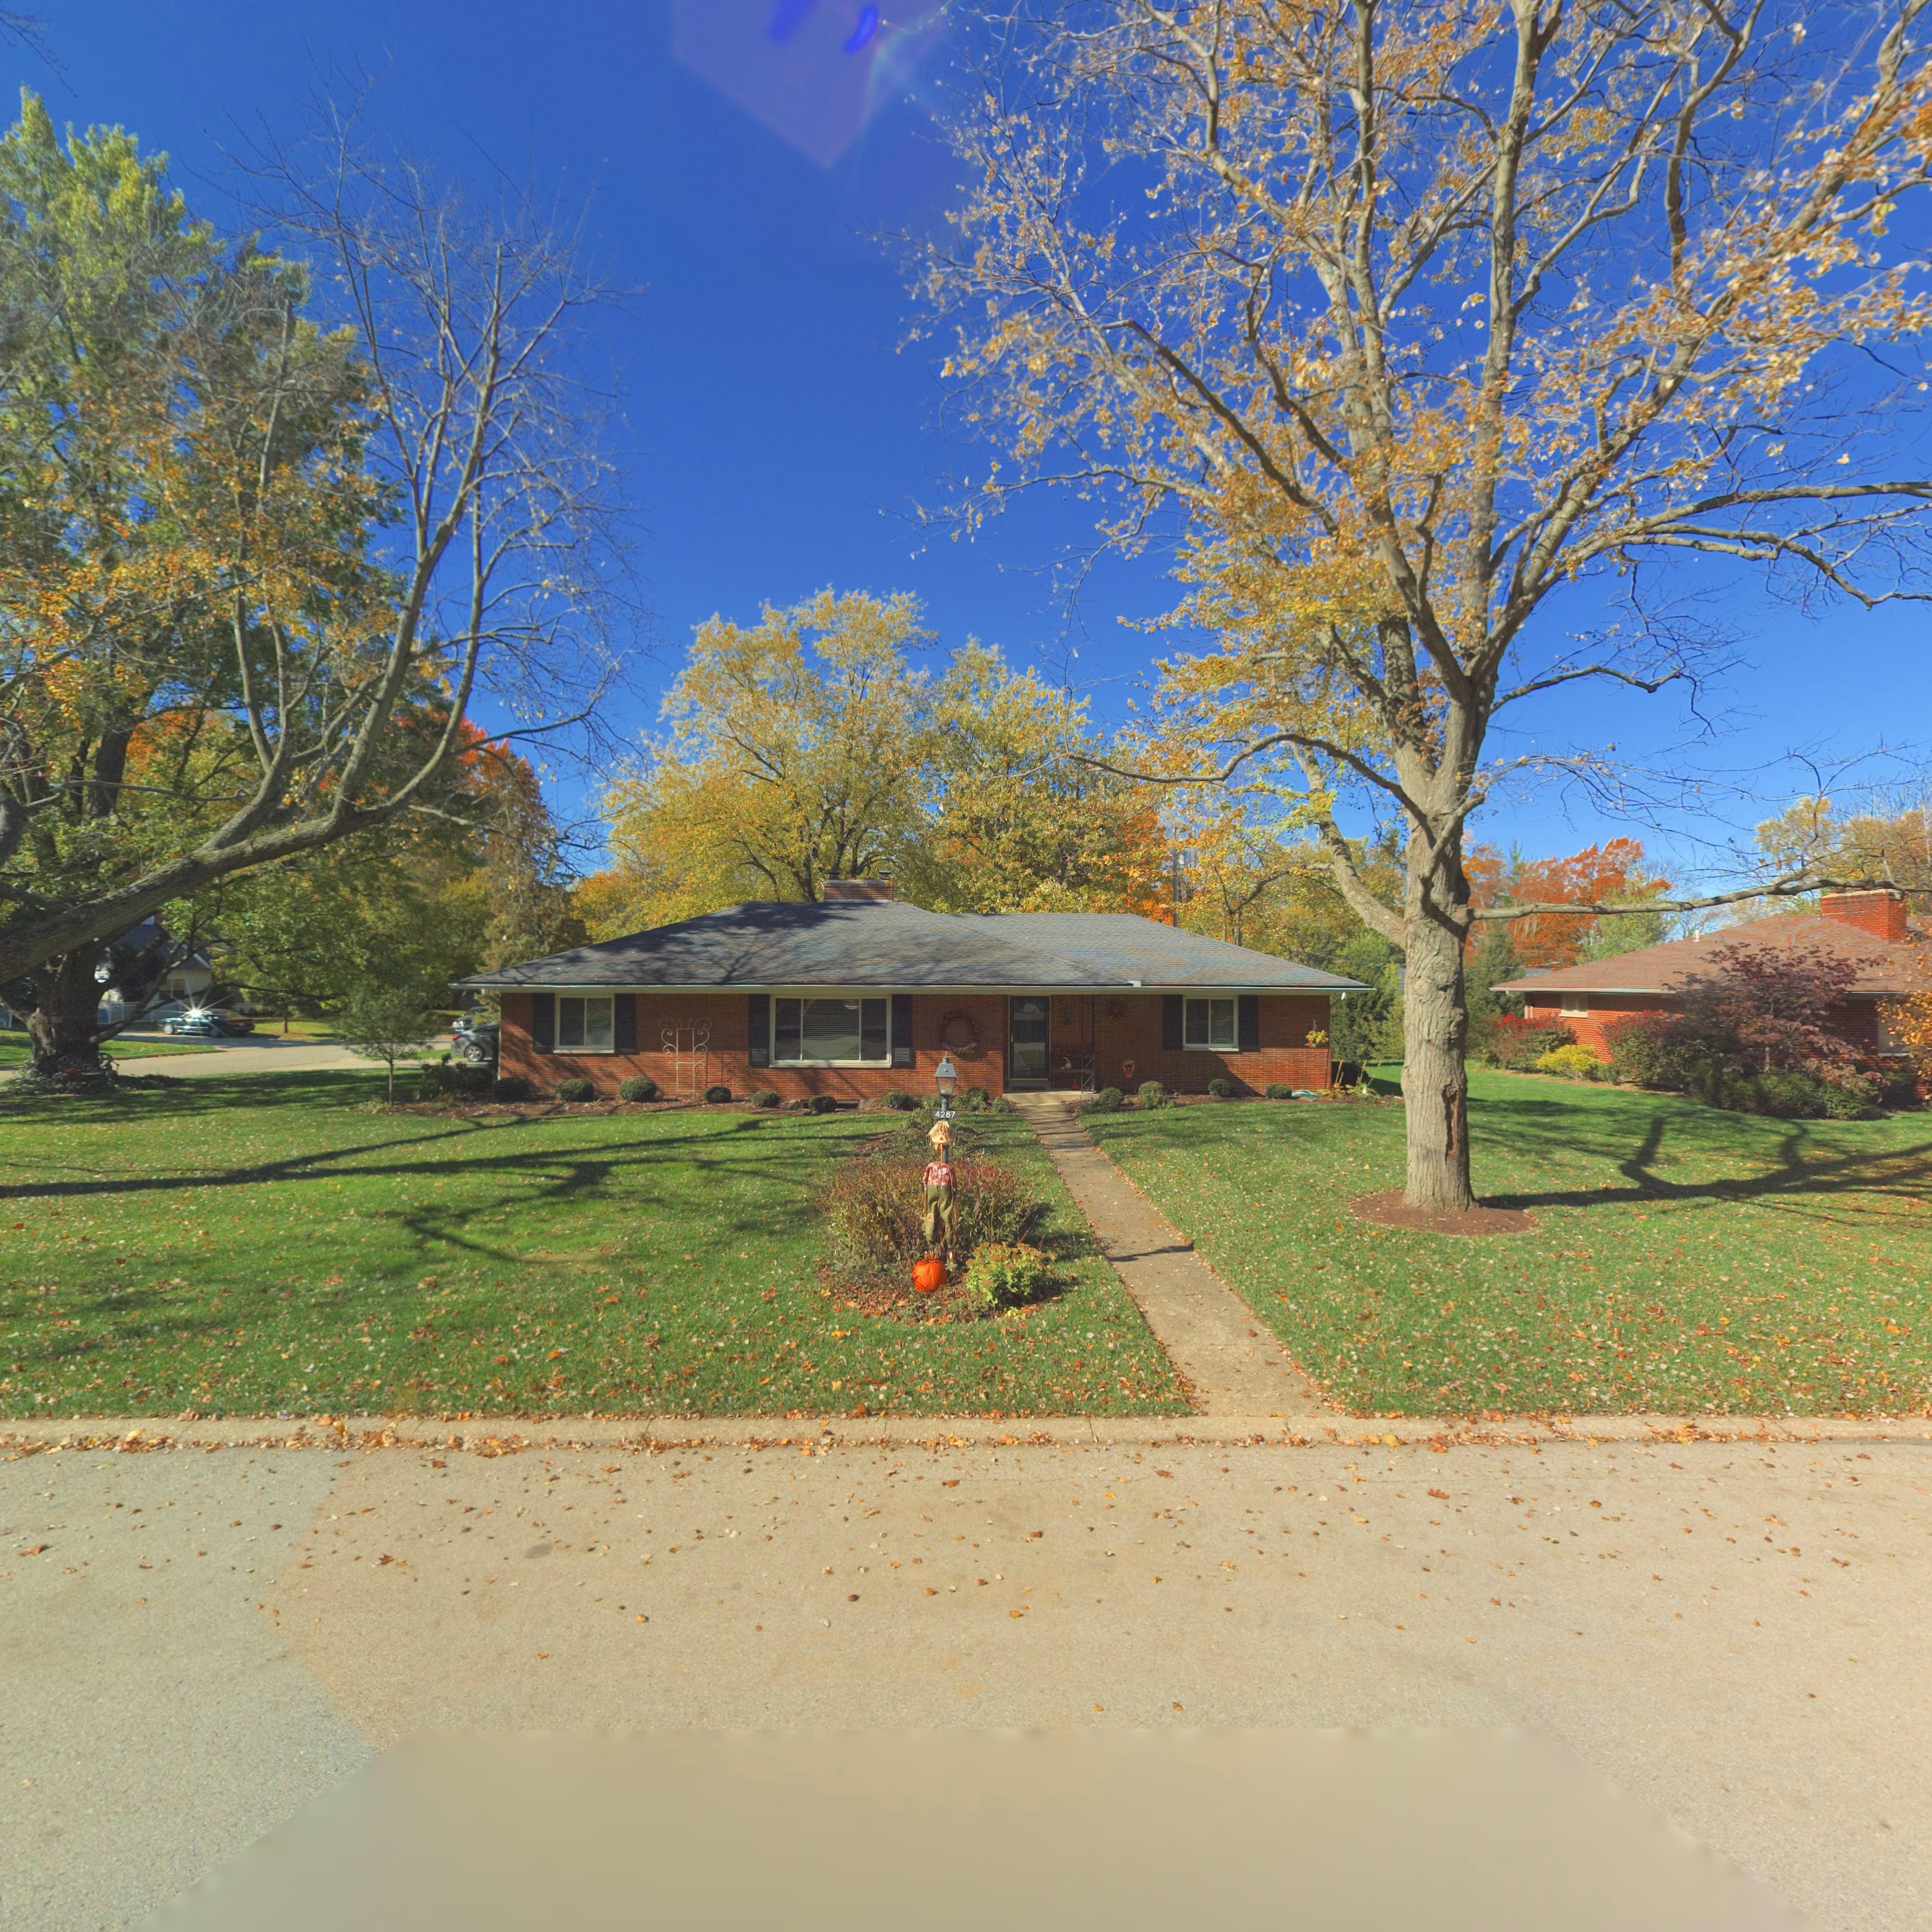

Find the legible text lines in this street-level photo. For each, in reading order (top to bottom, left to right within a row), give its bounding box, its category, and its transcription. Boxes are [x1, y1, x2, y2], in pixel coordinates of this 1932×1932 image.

[934, 1111, 956, 1119] StreetNumber: 4287